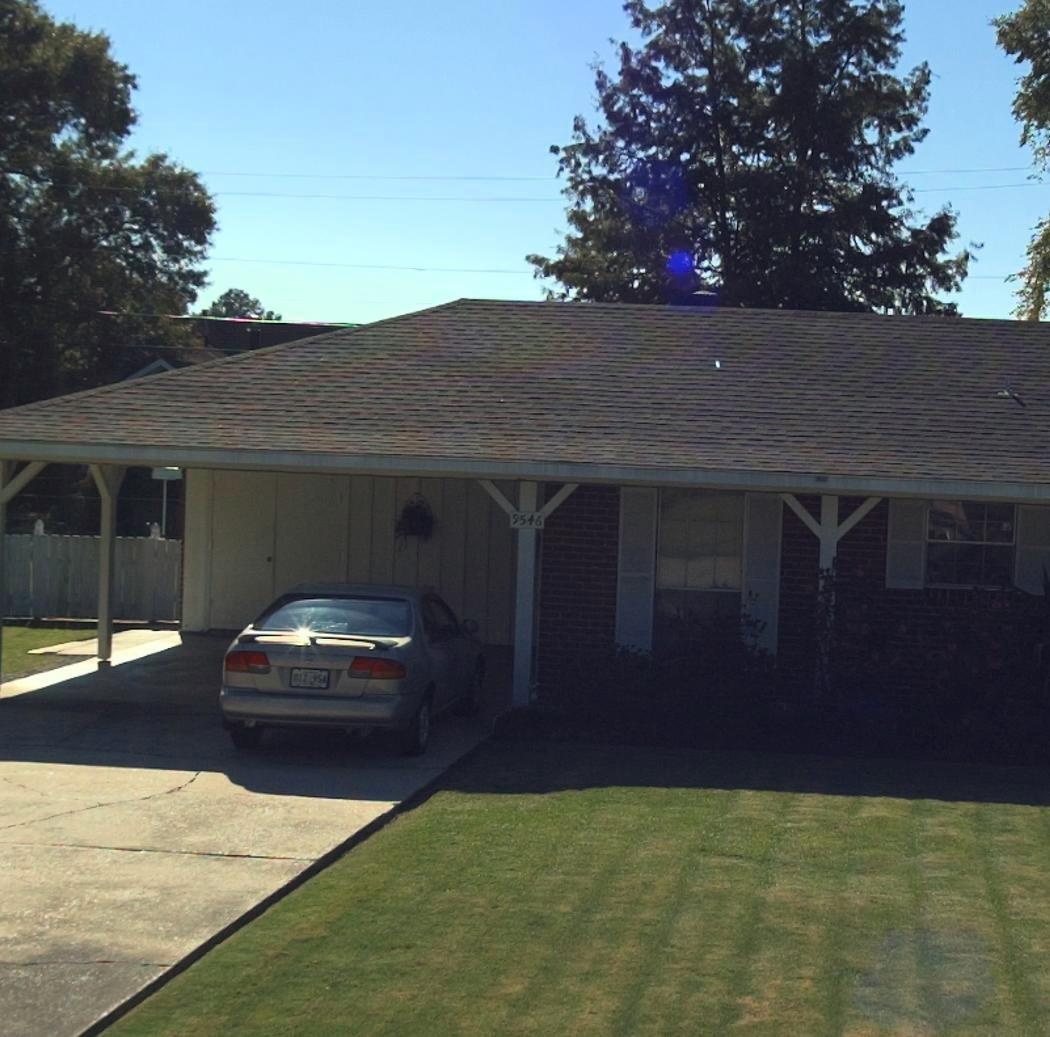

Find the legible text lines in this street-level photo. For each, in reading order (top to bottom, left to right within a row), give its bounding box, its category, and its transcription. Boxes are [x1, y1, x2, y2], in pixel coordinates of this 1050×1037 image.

[510, 513, 543, 526] StreetNumber: 9546
[293, 673, 327, 685] None: ***-*54